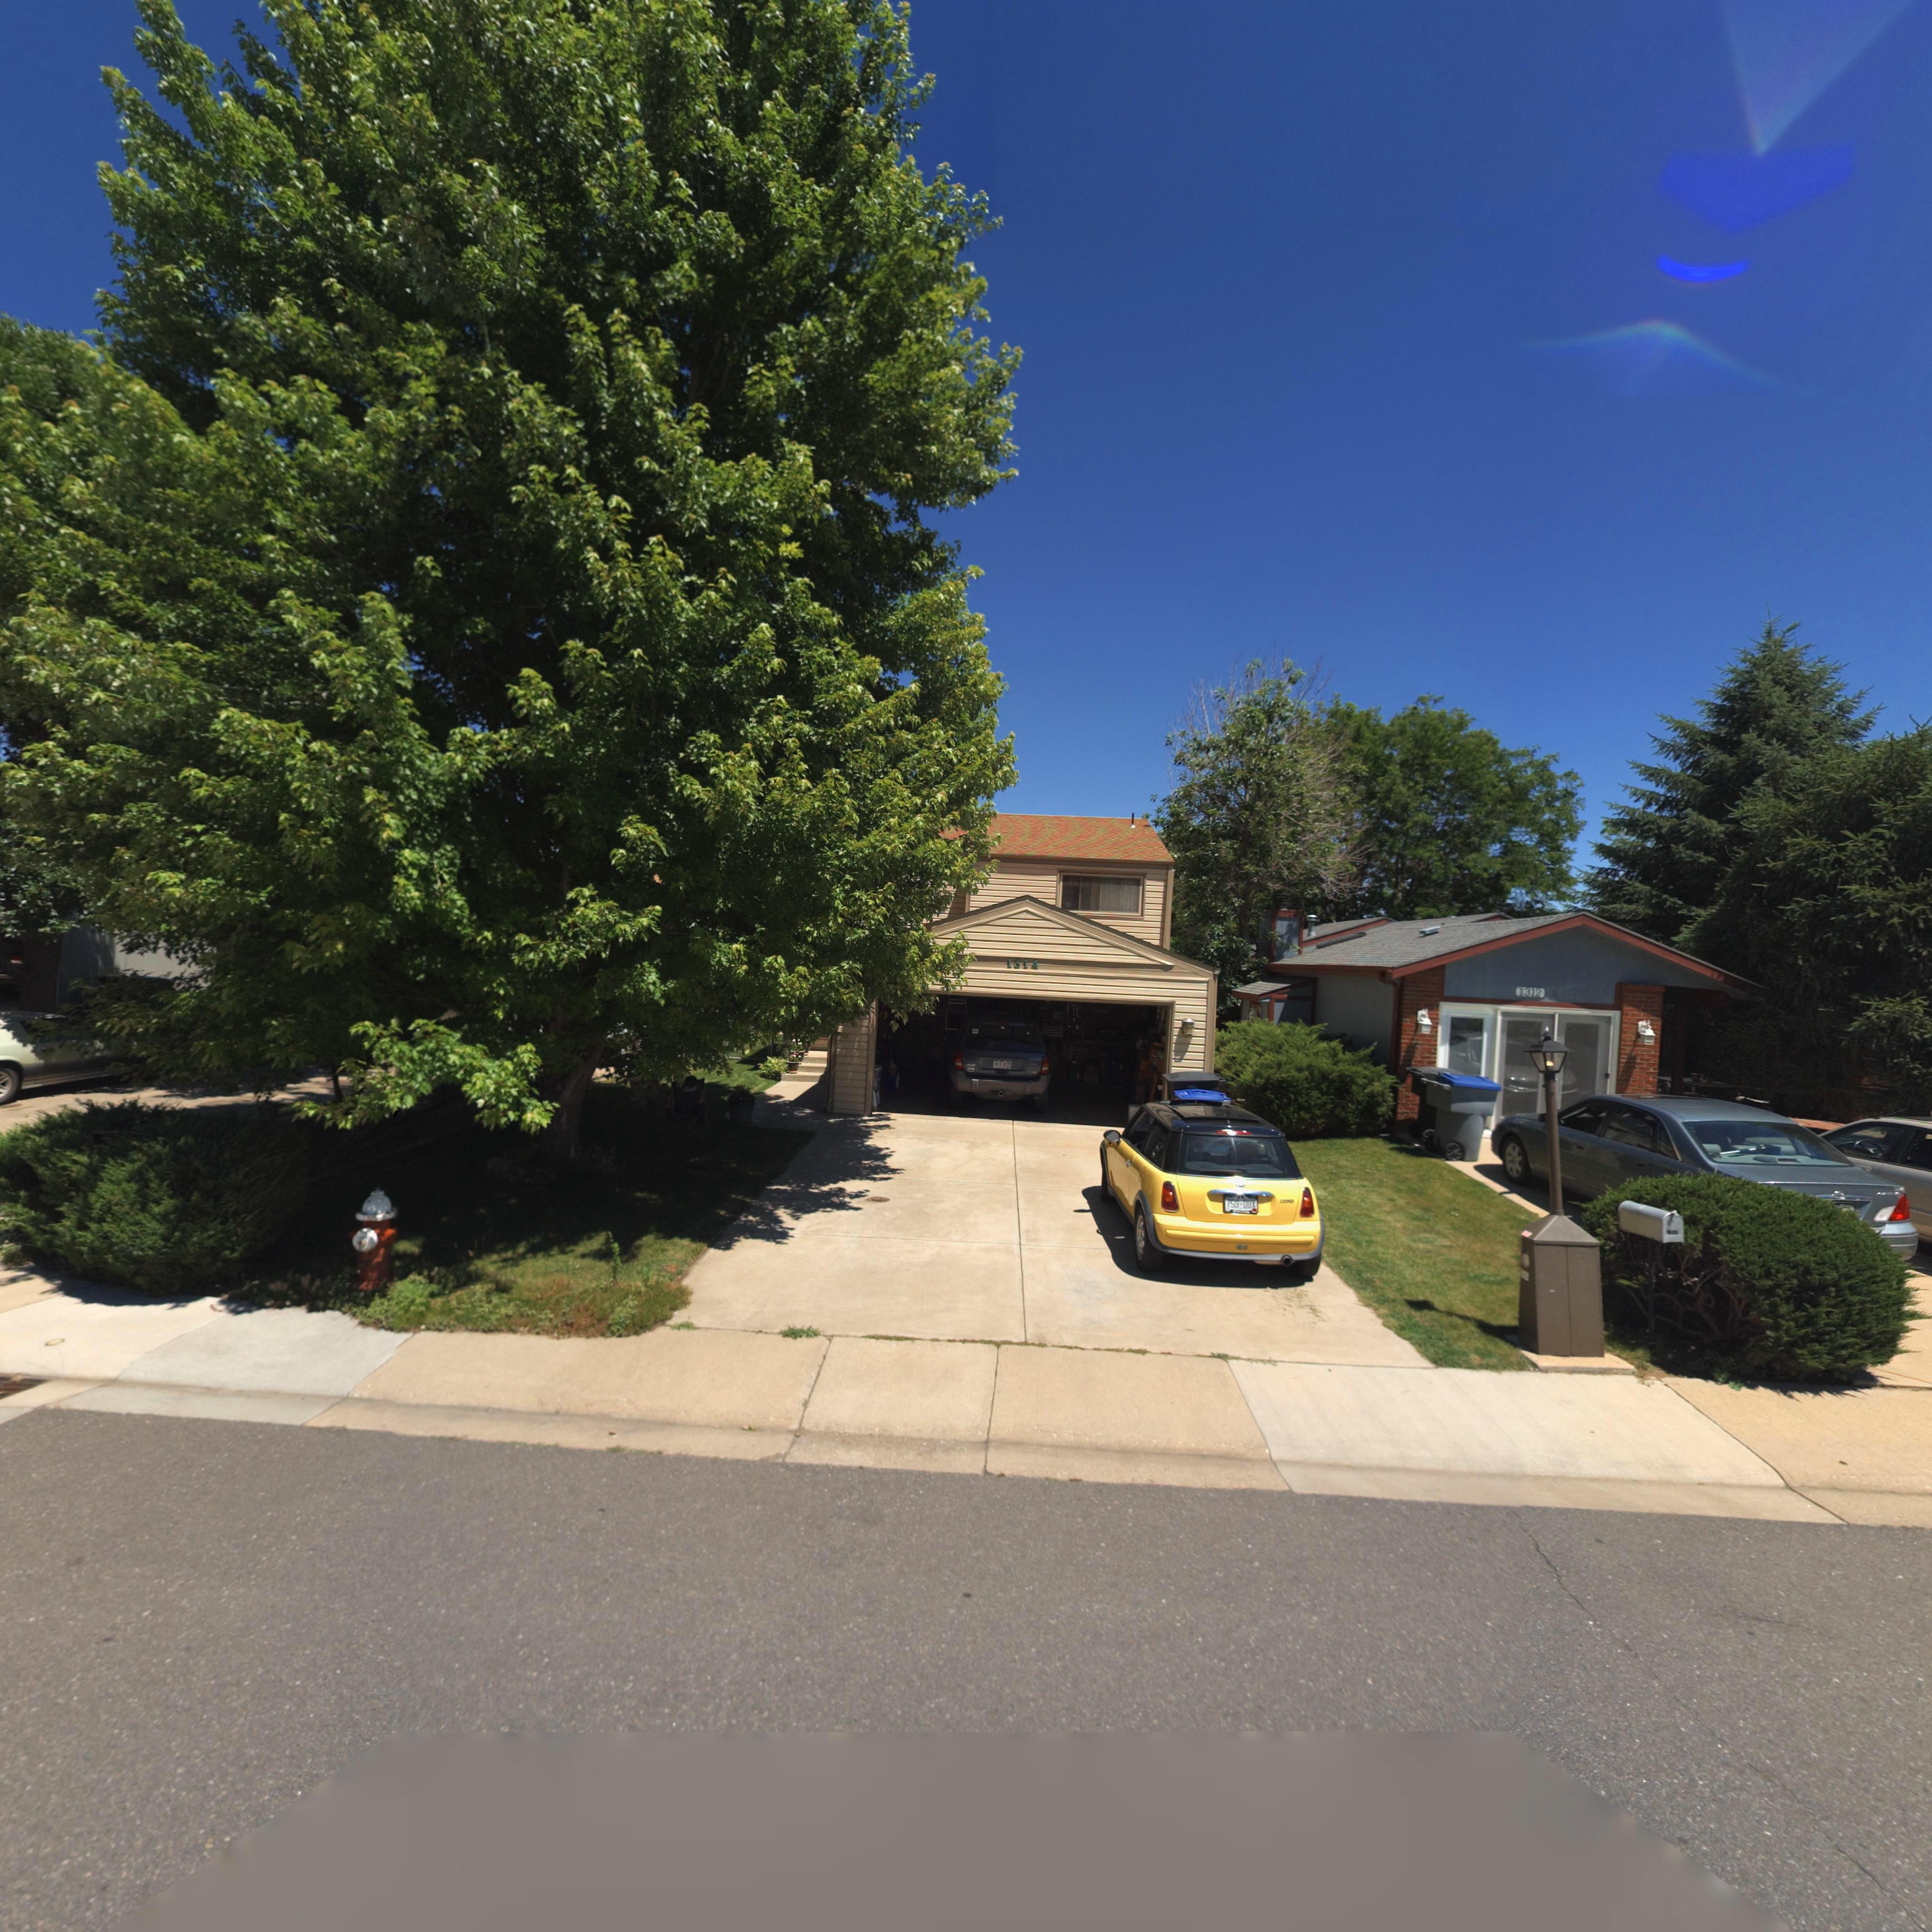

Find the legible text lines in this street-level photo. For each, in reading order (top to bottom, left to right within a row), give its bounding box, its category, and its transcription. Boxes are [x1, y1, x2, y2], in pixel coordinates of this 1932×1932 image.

[1007, 958, 1038, 969] StreetNumber: 1314
[1519, 987, 1541, 996] StreetNumber: 1312